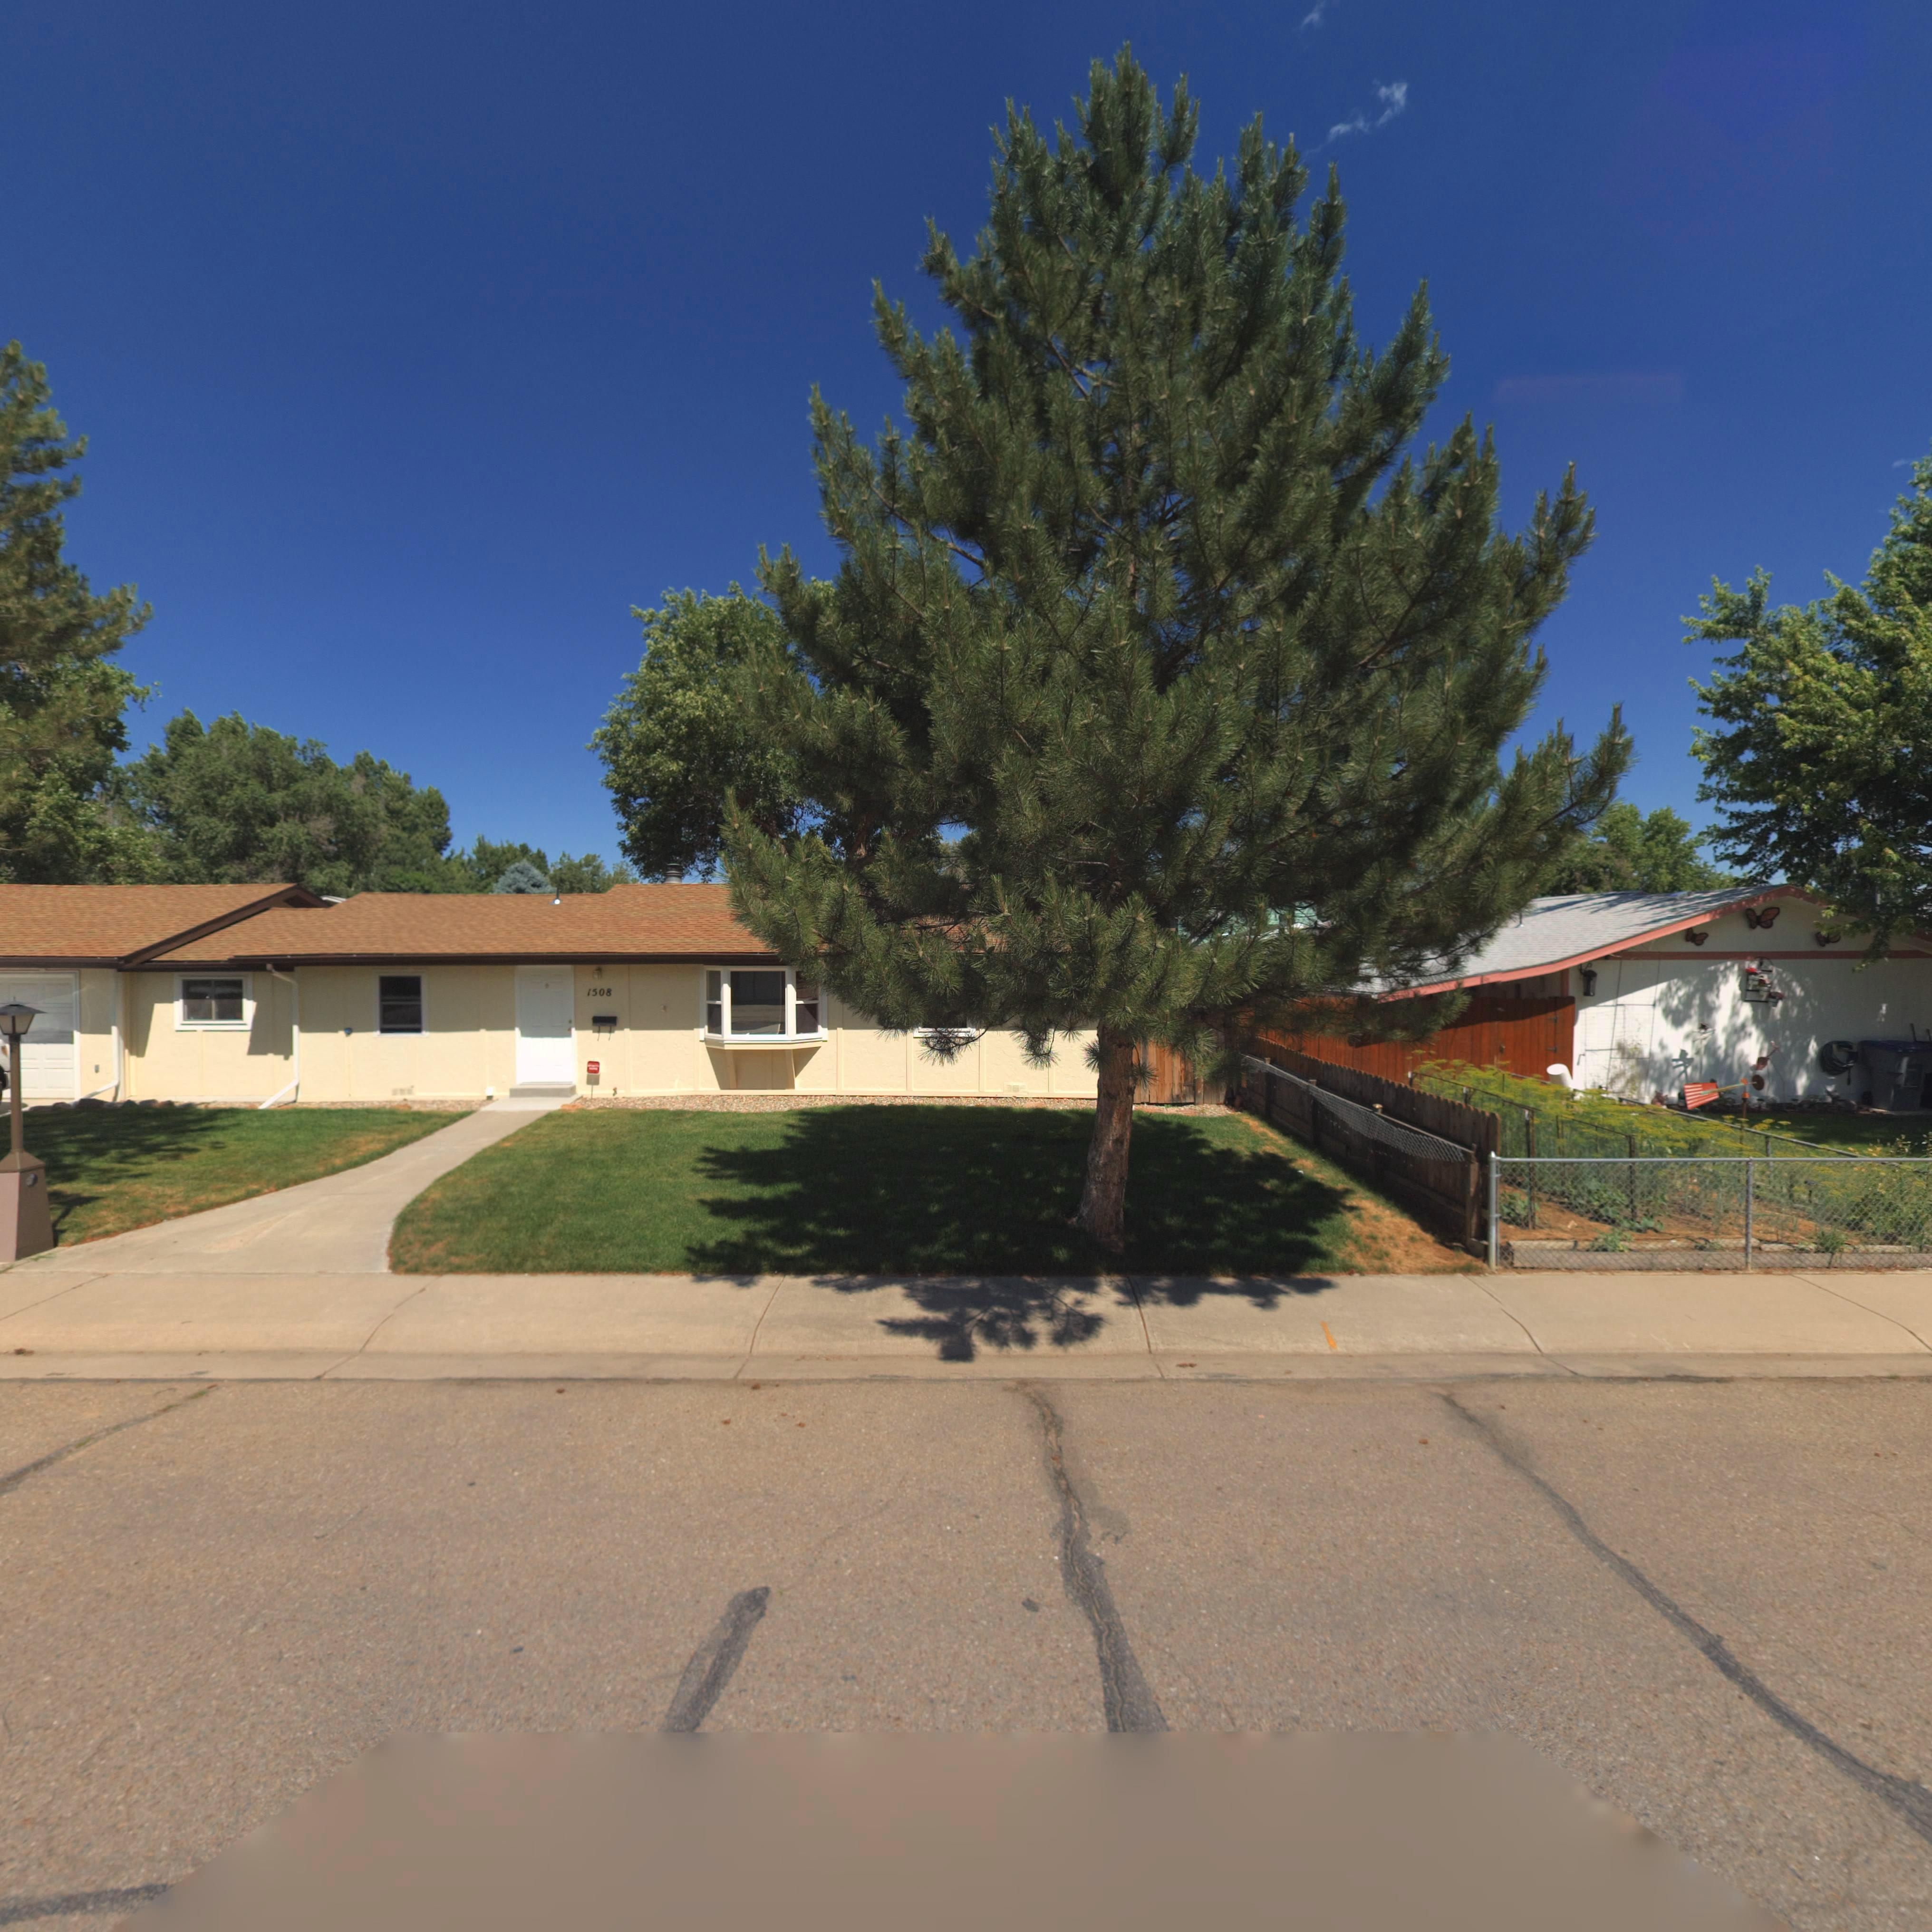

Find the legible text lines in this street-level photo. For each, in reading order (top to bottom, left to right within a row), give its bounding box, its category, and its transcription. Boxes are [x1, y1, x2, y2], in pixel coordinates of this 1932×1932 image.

[586, 987, 612, 997] StreetNumber: 1508